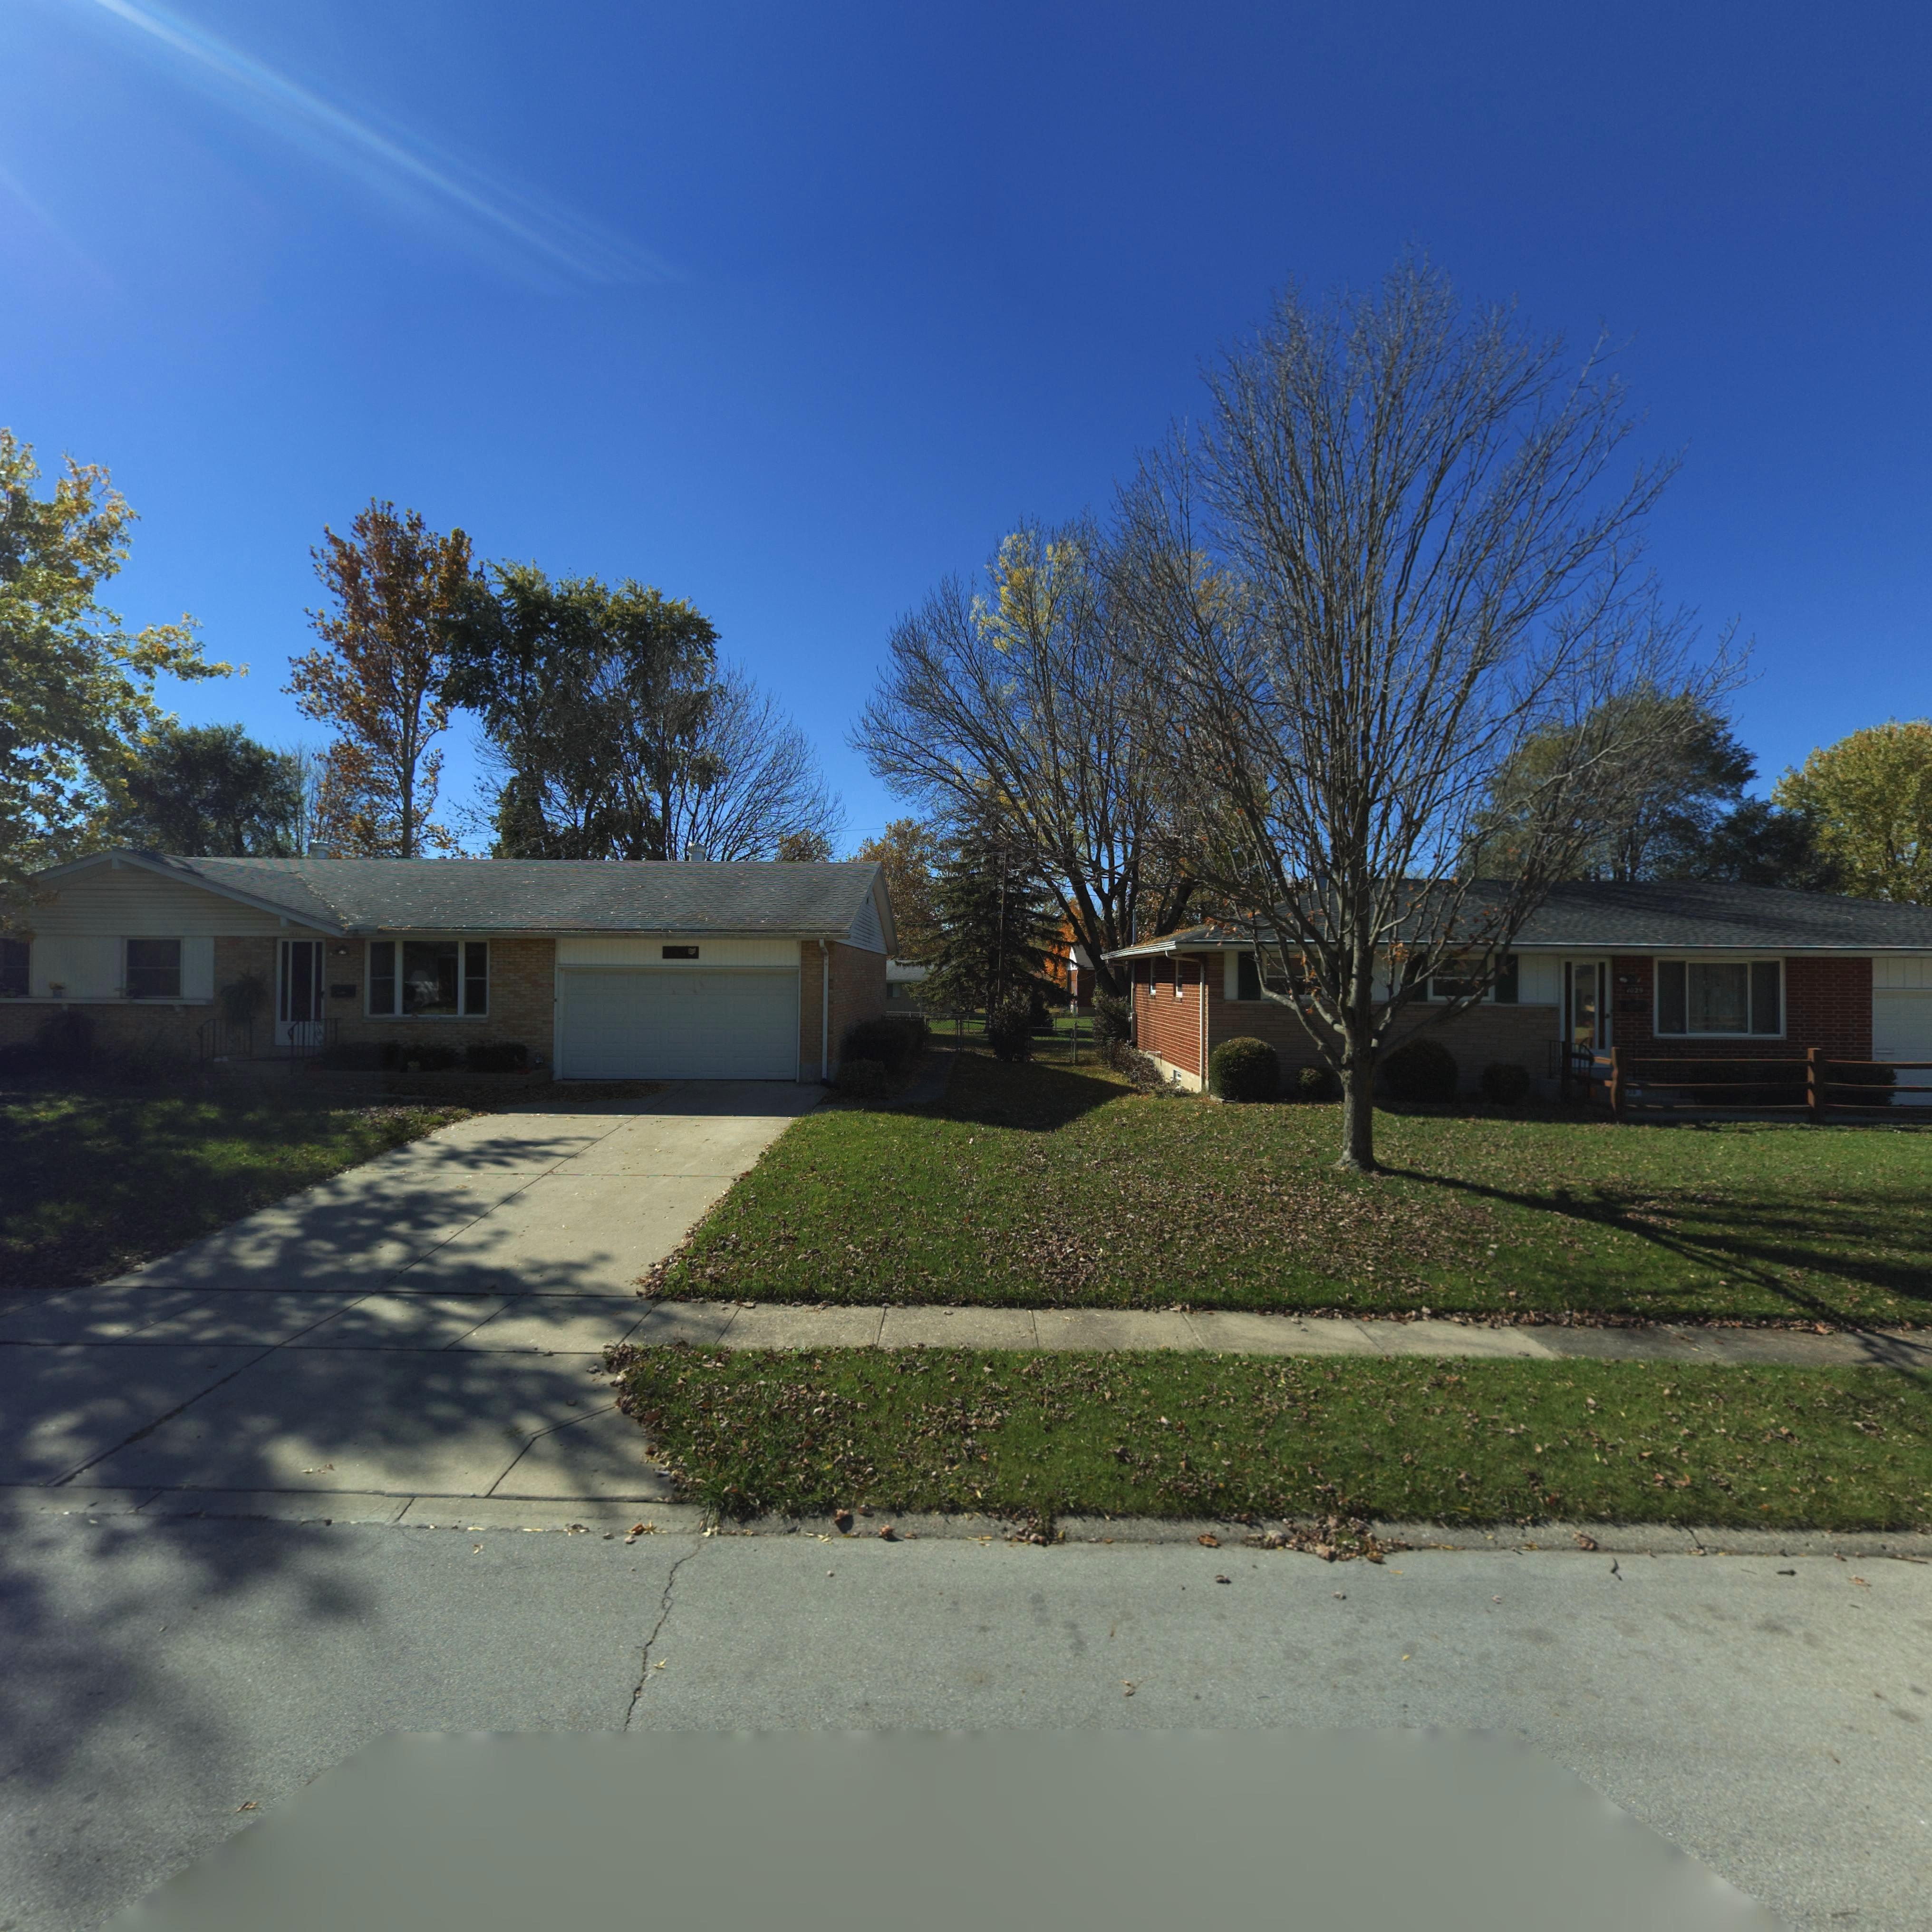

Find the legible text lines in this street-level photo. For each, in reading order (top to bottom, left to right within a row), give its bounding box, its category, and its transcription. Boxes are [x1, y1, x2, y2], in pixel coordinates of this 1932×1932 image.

[288, 931, 301, 937] StreetNumber: 10*1
[1626, 987, 1643, 994] StreetNumber: 1029
[1627, 1089, 1632, 1095] StreetNumber: 2